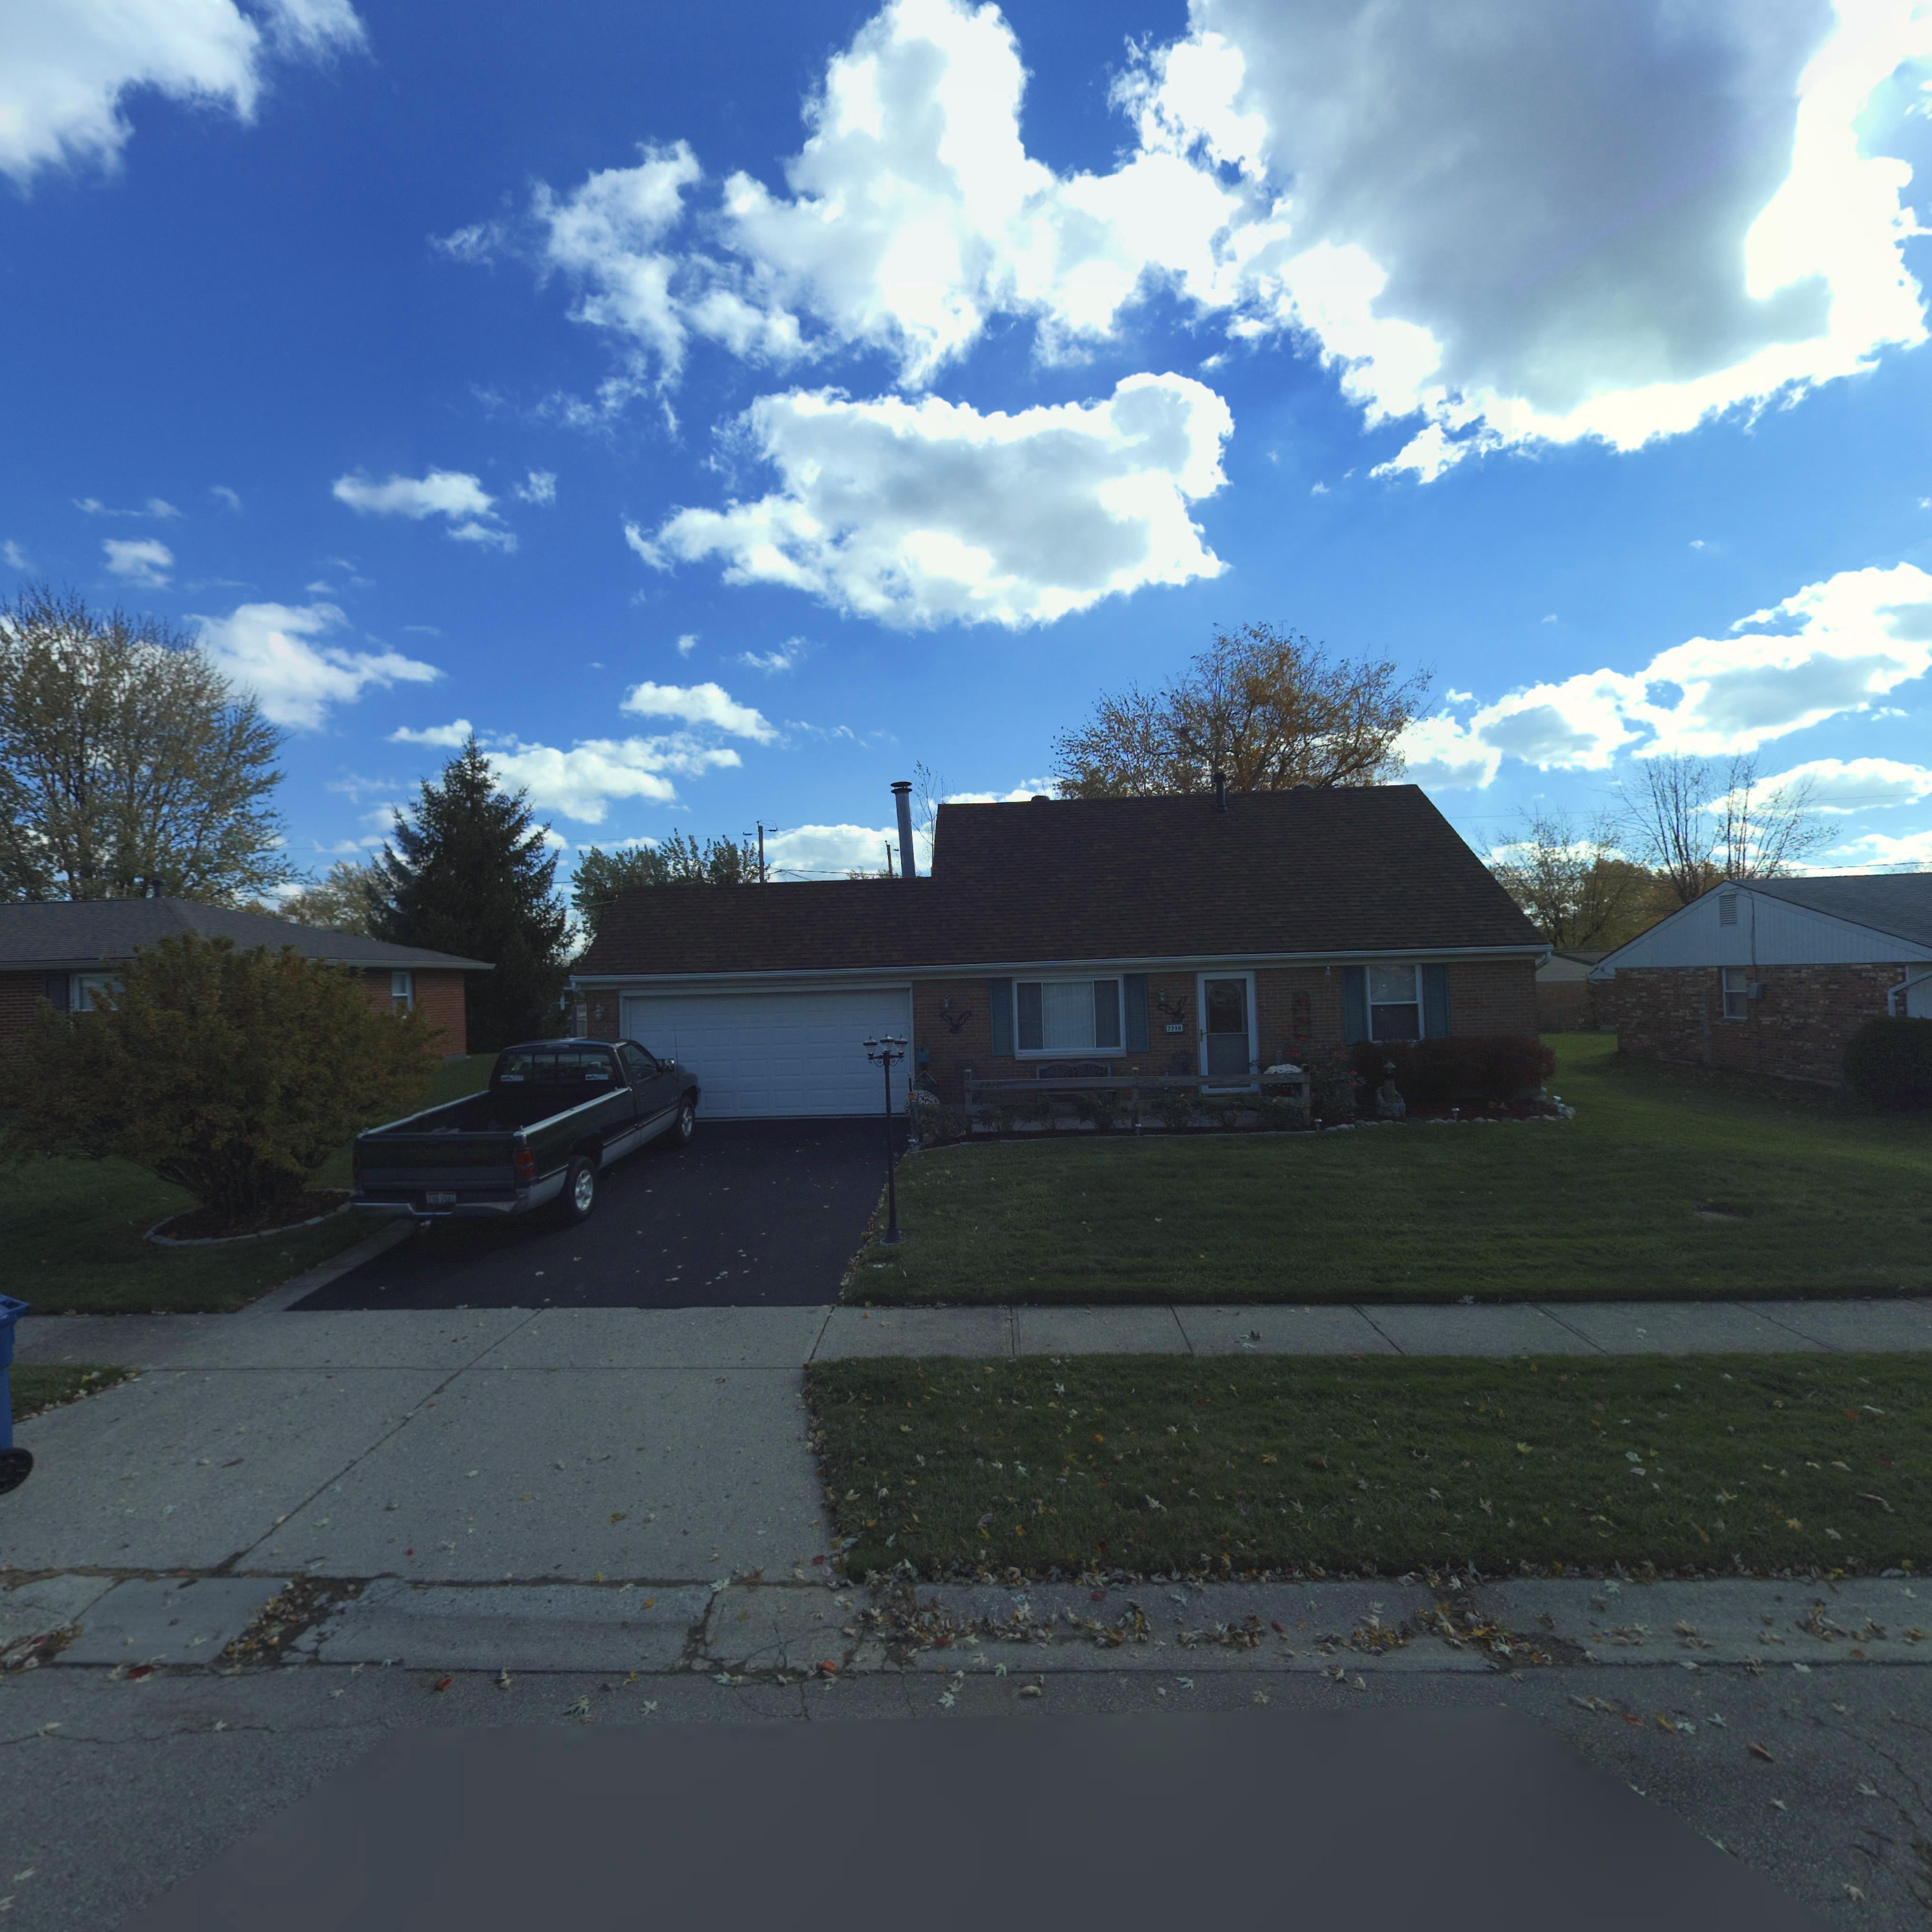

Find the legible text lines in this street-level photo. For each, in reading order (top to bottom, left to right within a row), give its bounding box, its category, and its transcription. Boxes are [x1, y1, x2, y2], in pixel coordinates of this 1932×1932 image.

[1167, 1025, 1182, 1032] StreetNumber: 7710